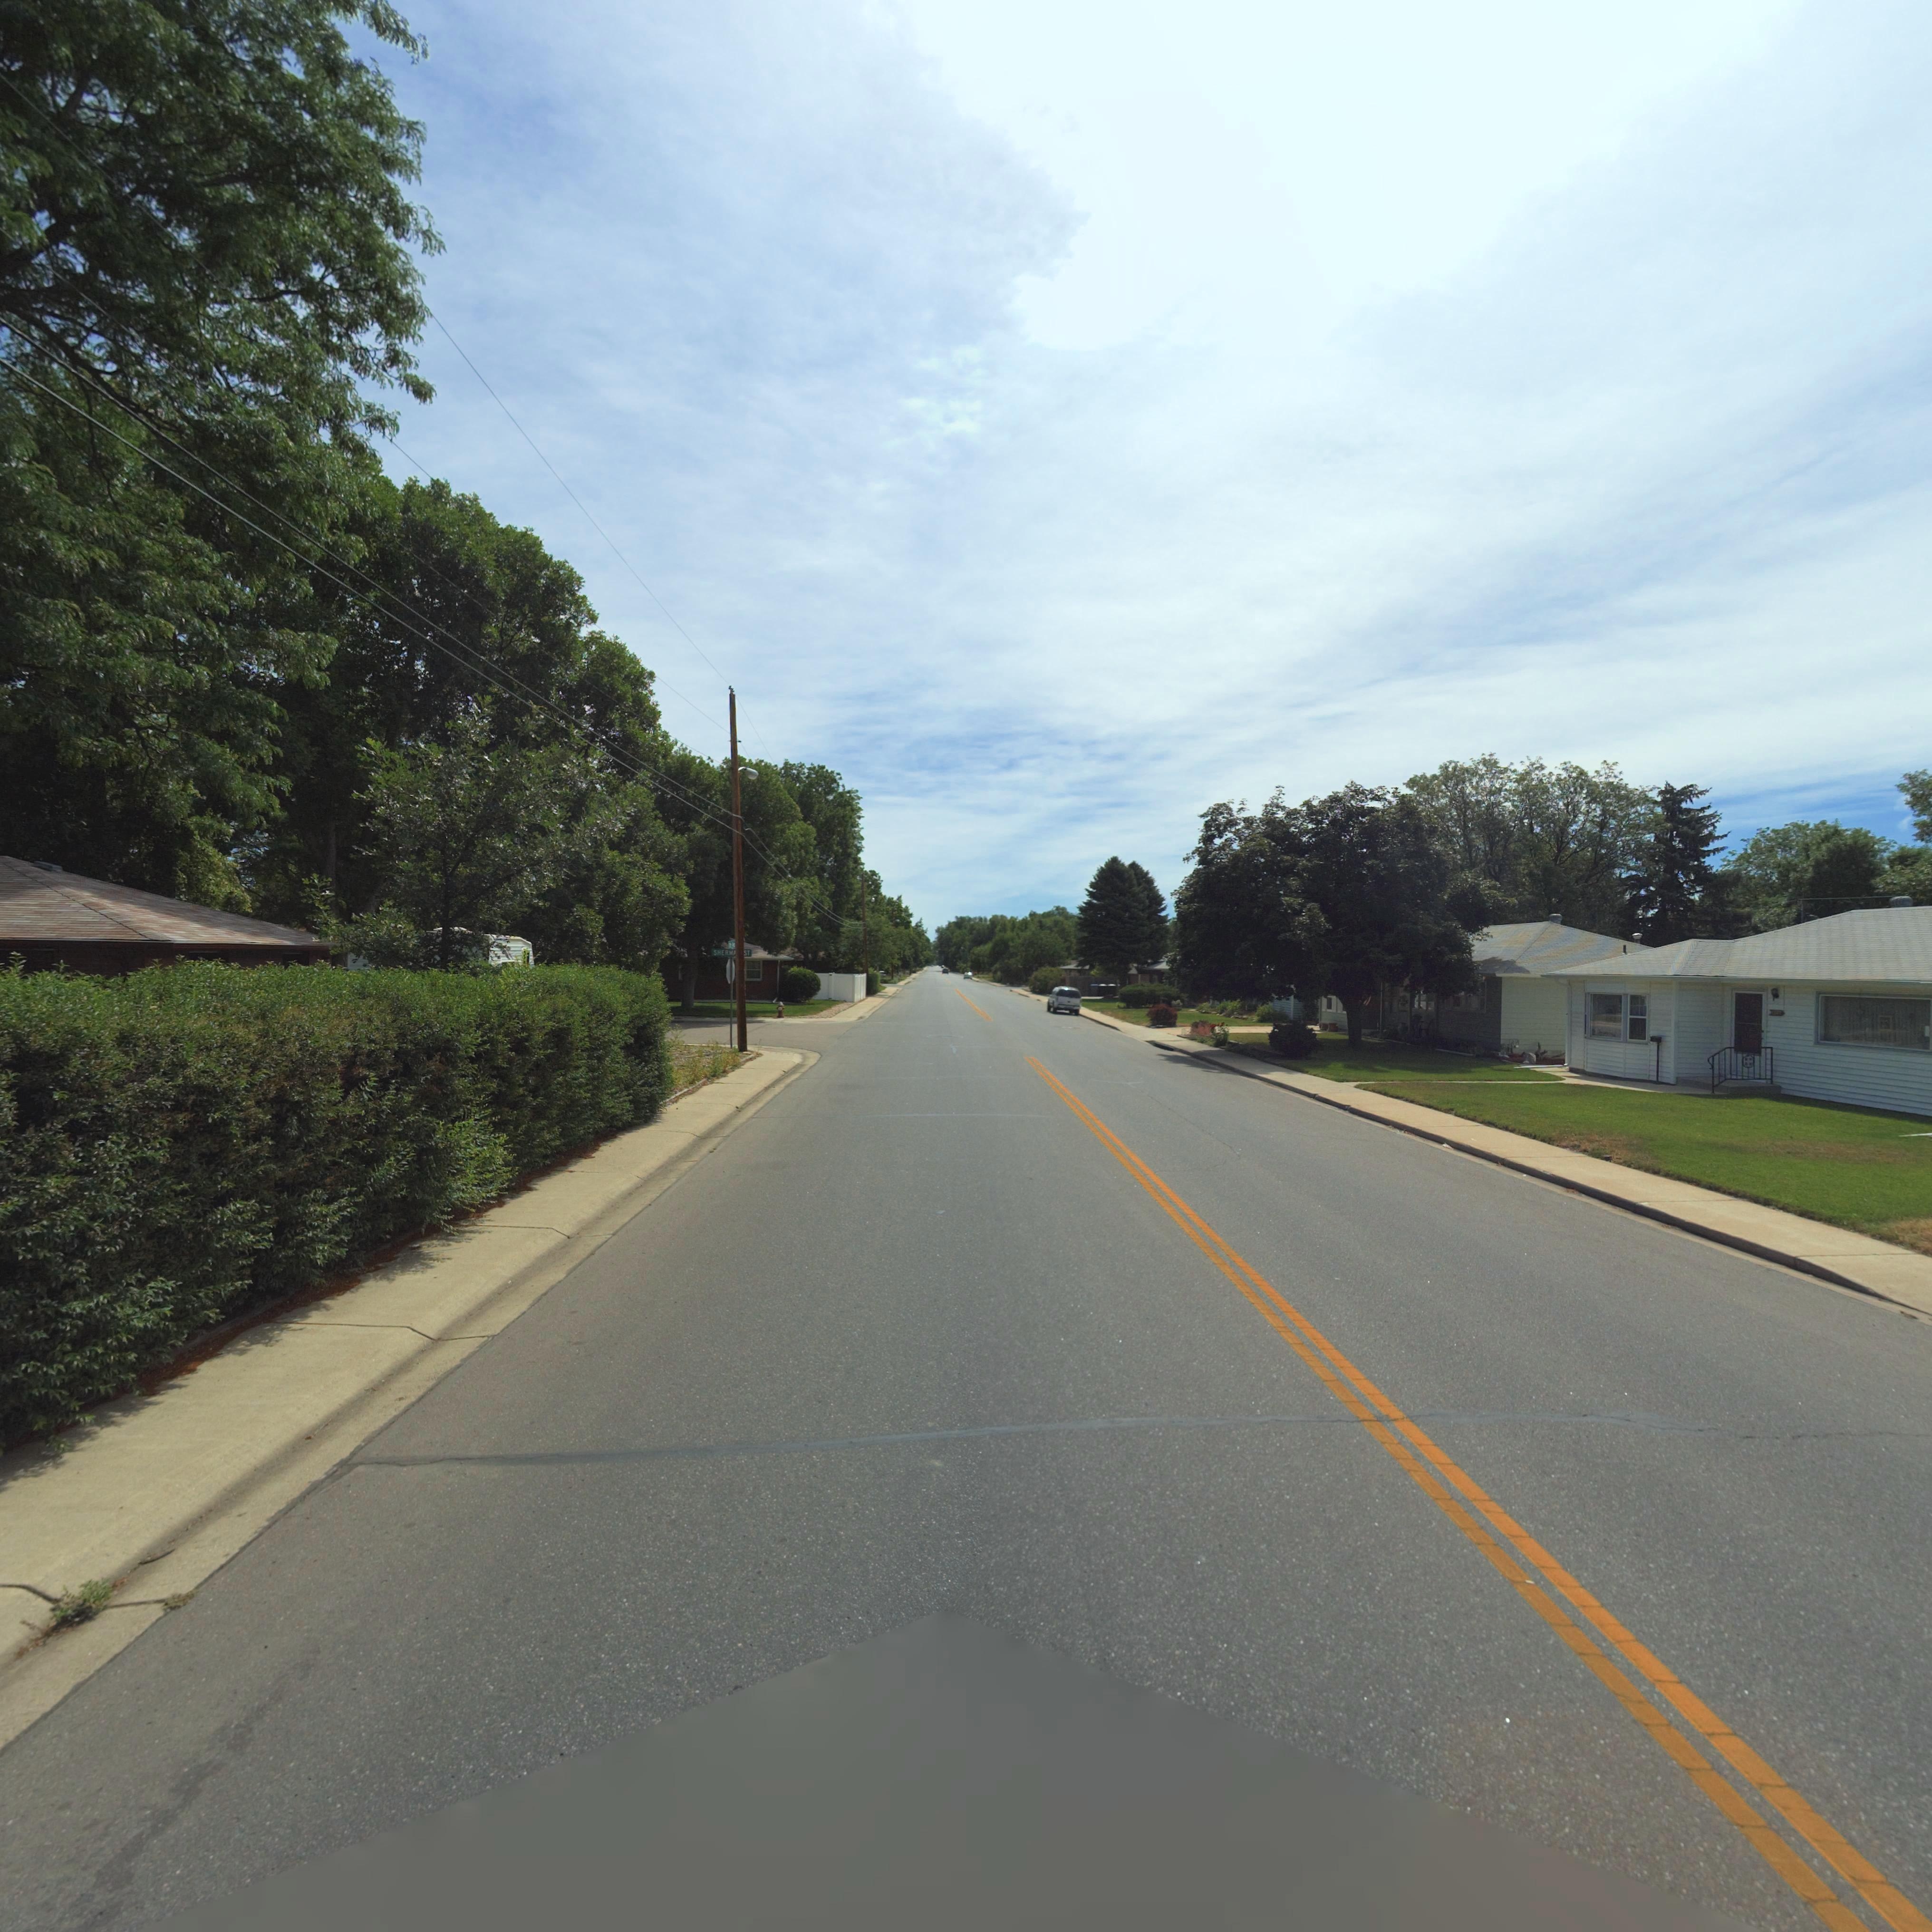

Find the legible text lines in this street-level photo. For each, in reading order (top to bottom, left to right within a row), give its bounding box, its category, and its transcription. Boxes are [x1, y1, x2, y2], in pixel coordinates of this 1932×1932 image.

[713, 949, 750, 956] StreetName: SHERM** ST